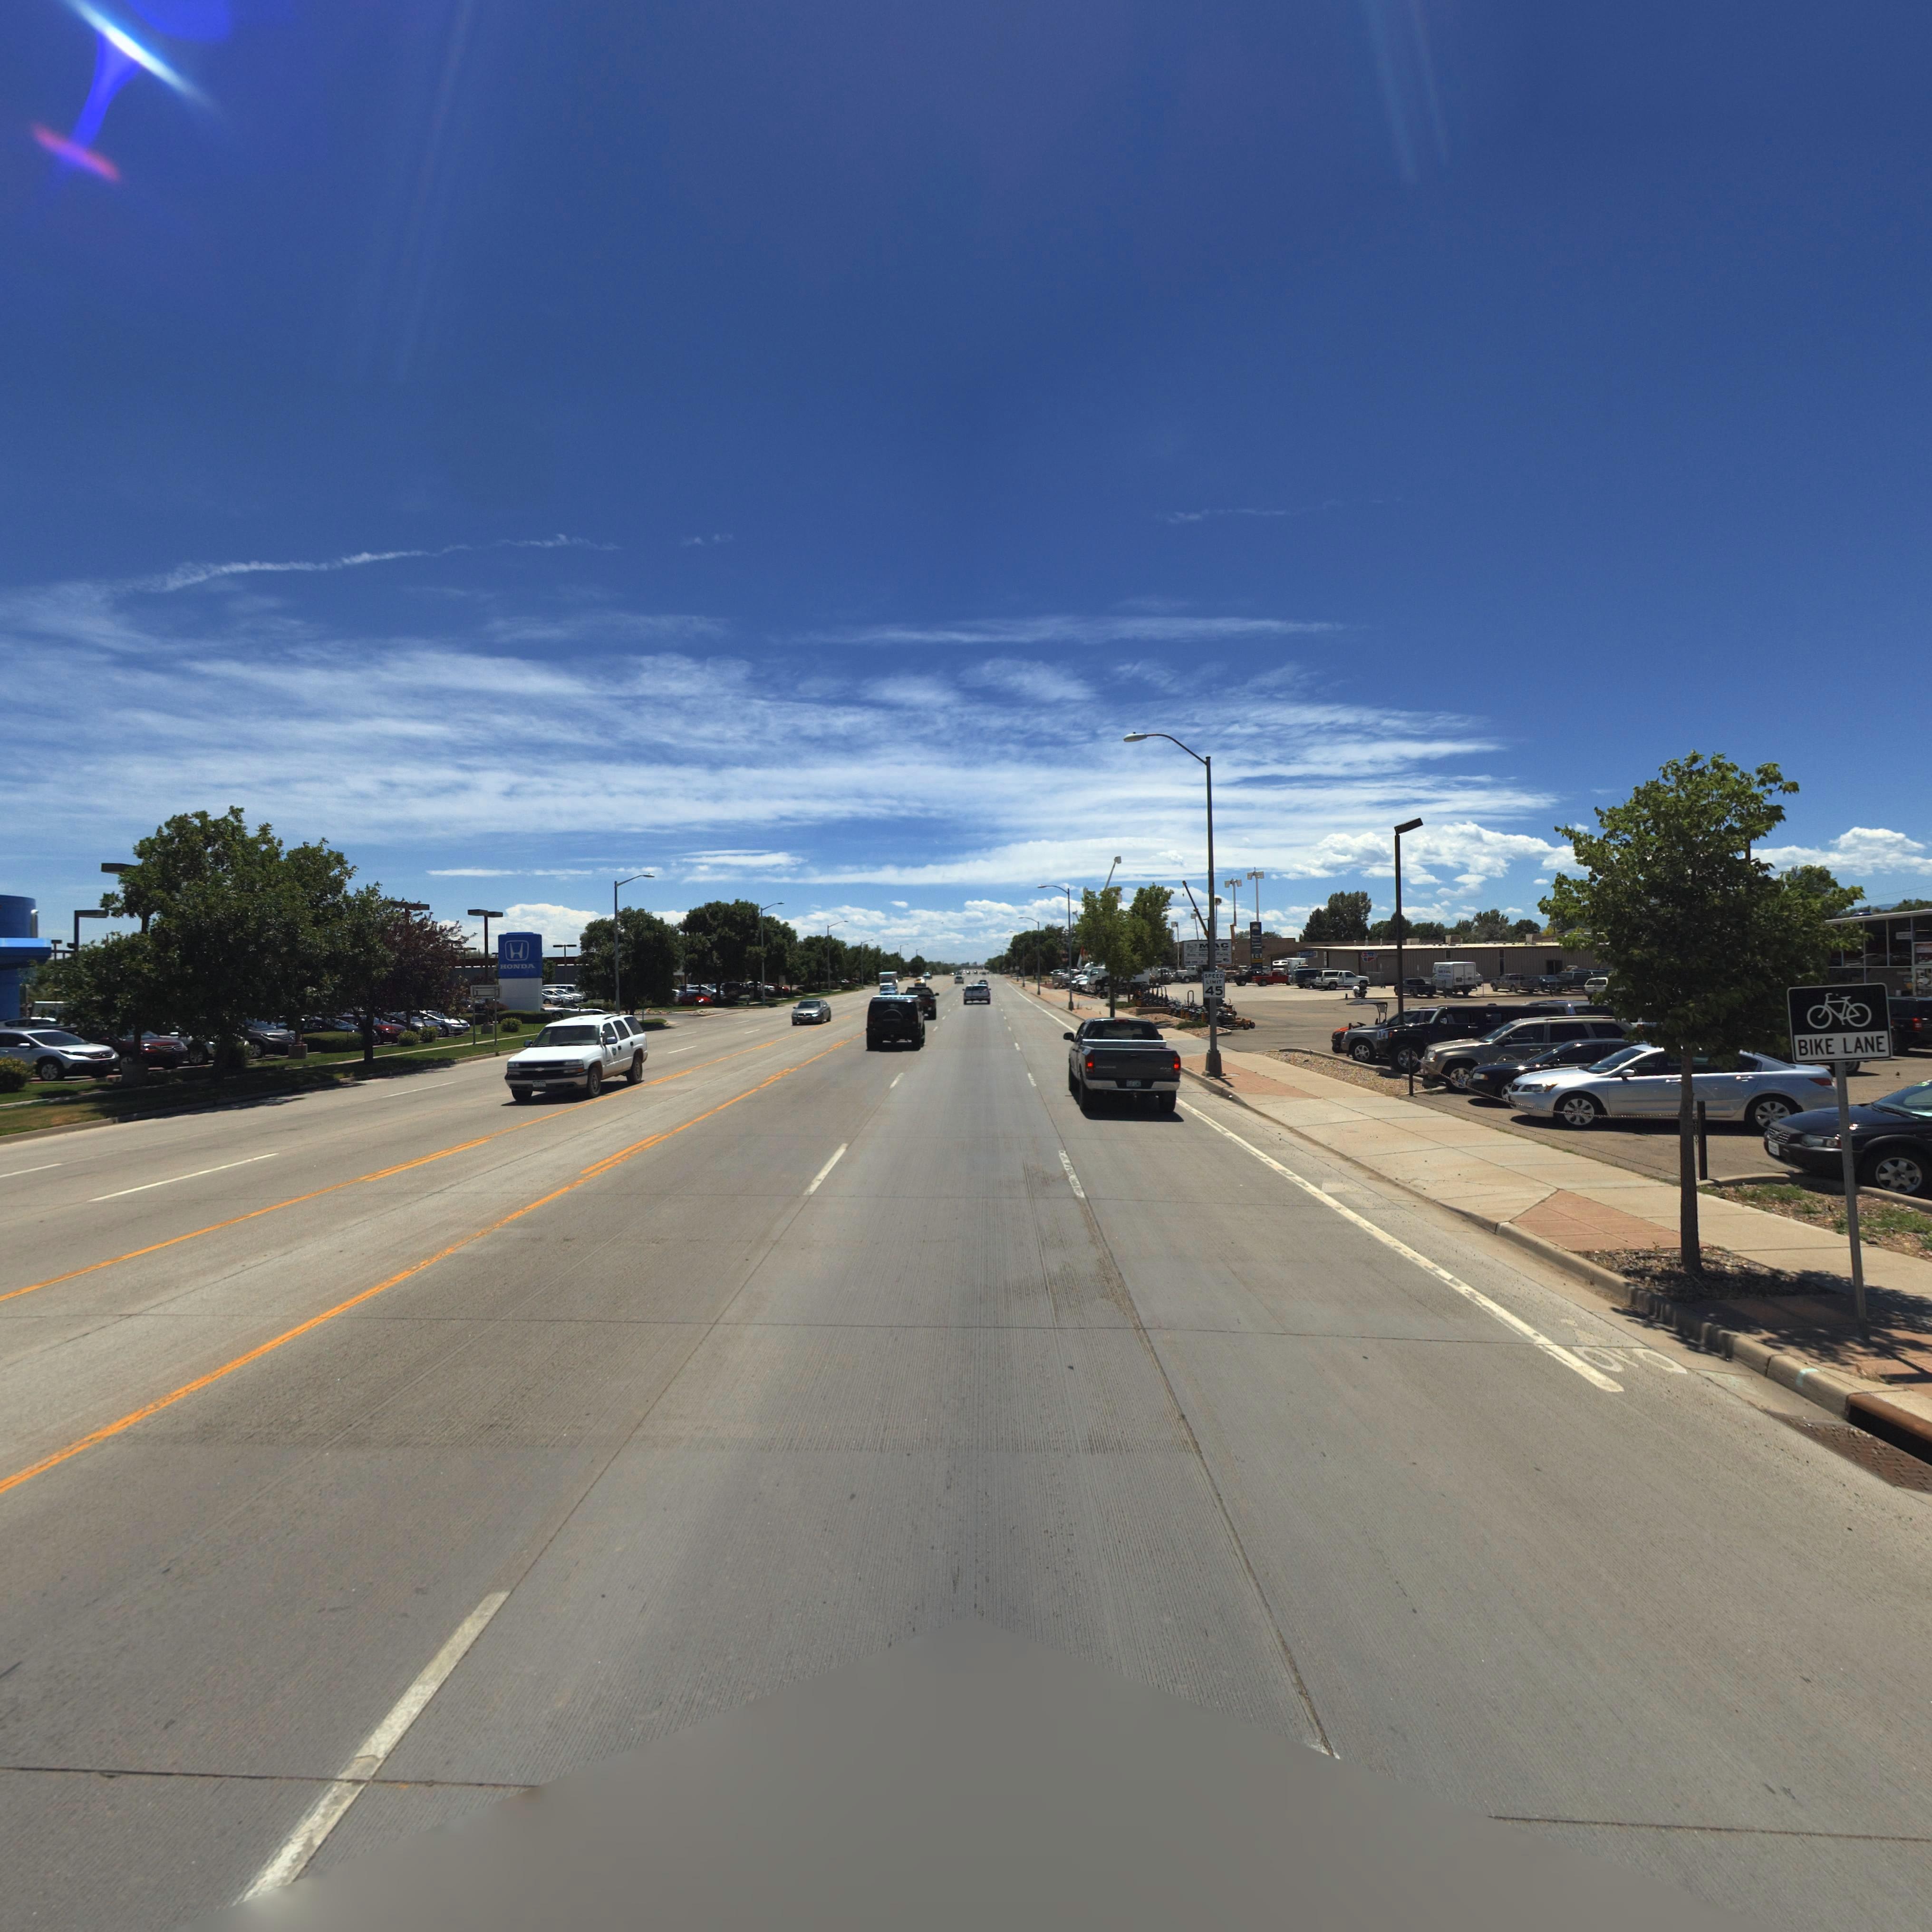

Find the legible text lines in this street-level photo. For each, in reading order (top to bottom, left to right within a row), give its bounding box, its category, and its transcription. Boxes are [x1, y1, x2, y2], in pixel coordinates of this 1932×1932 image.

[499, 962, 536, 970] BusinessName: HONDA